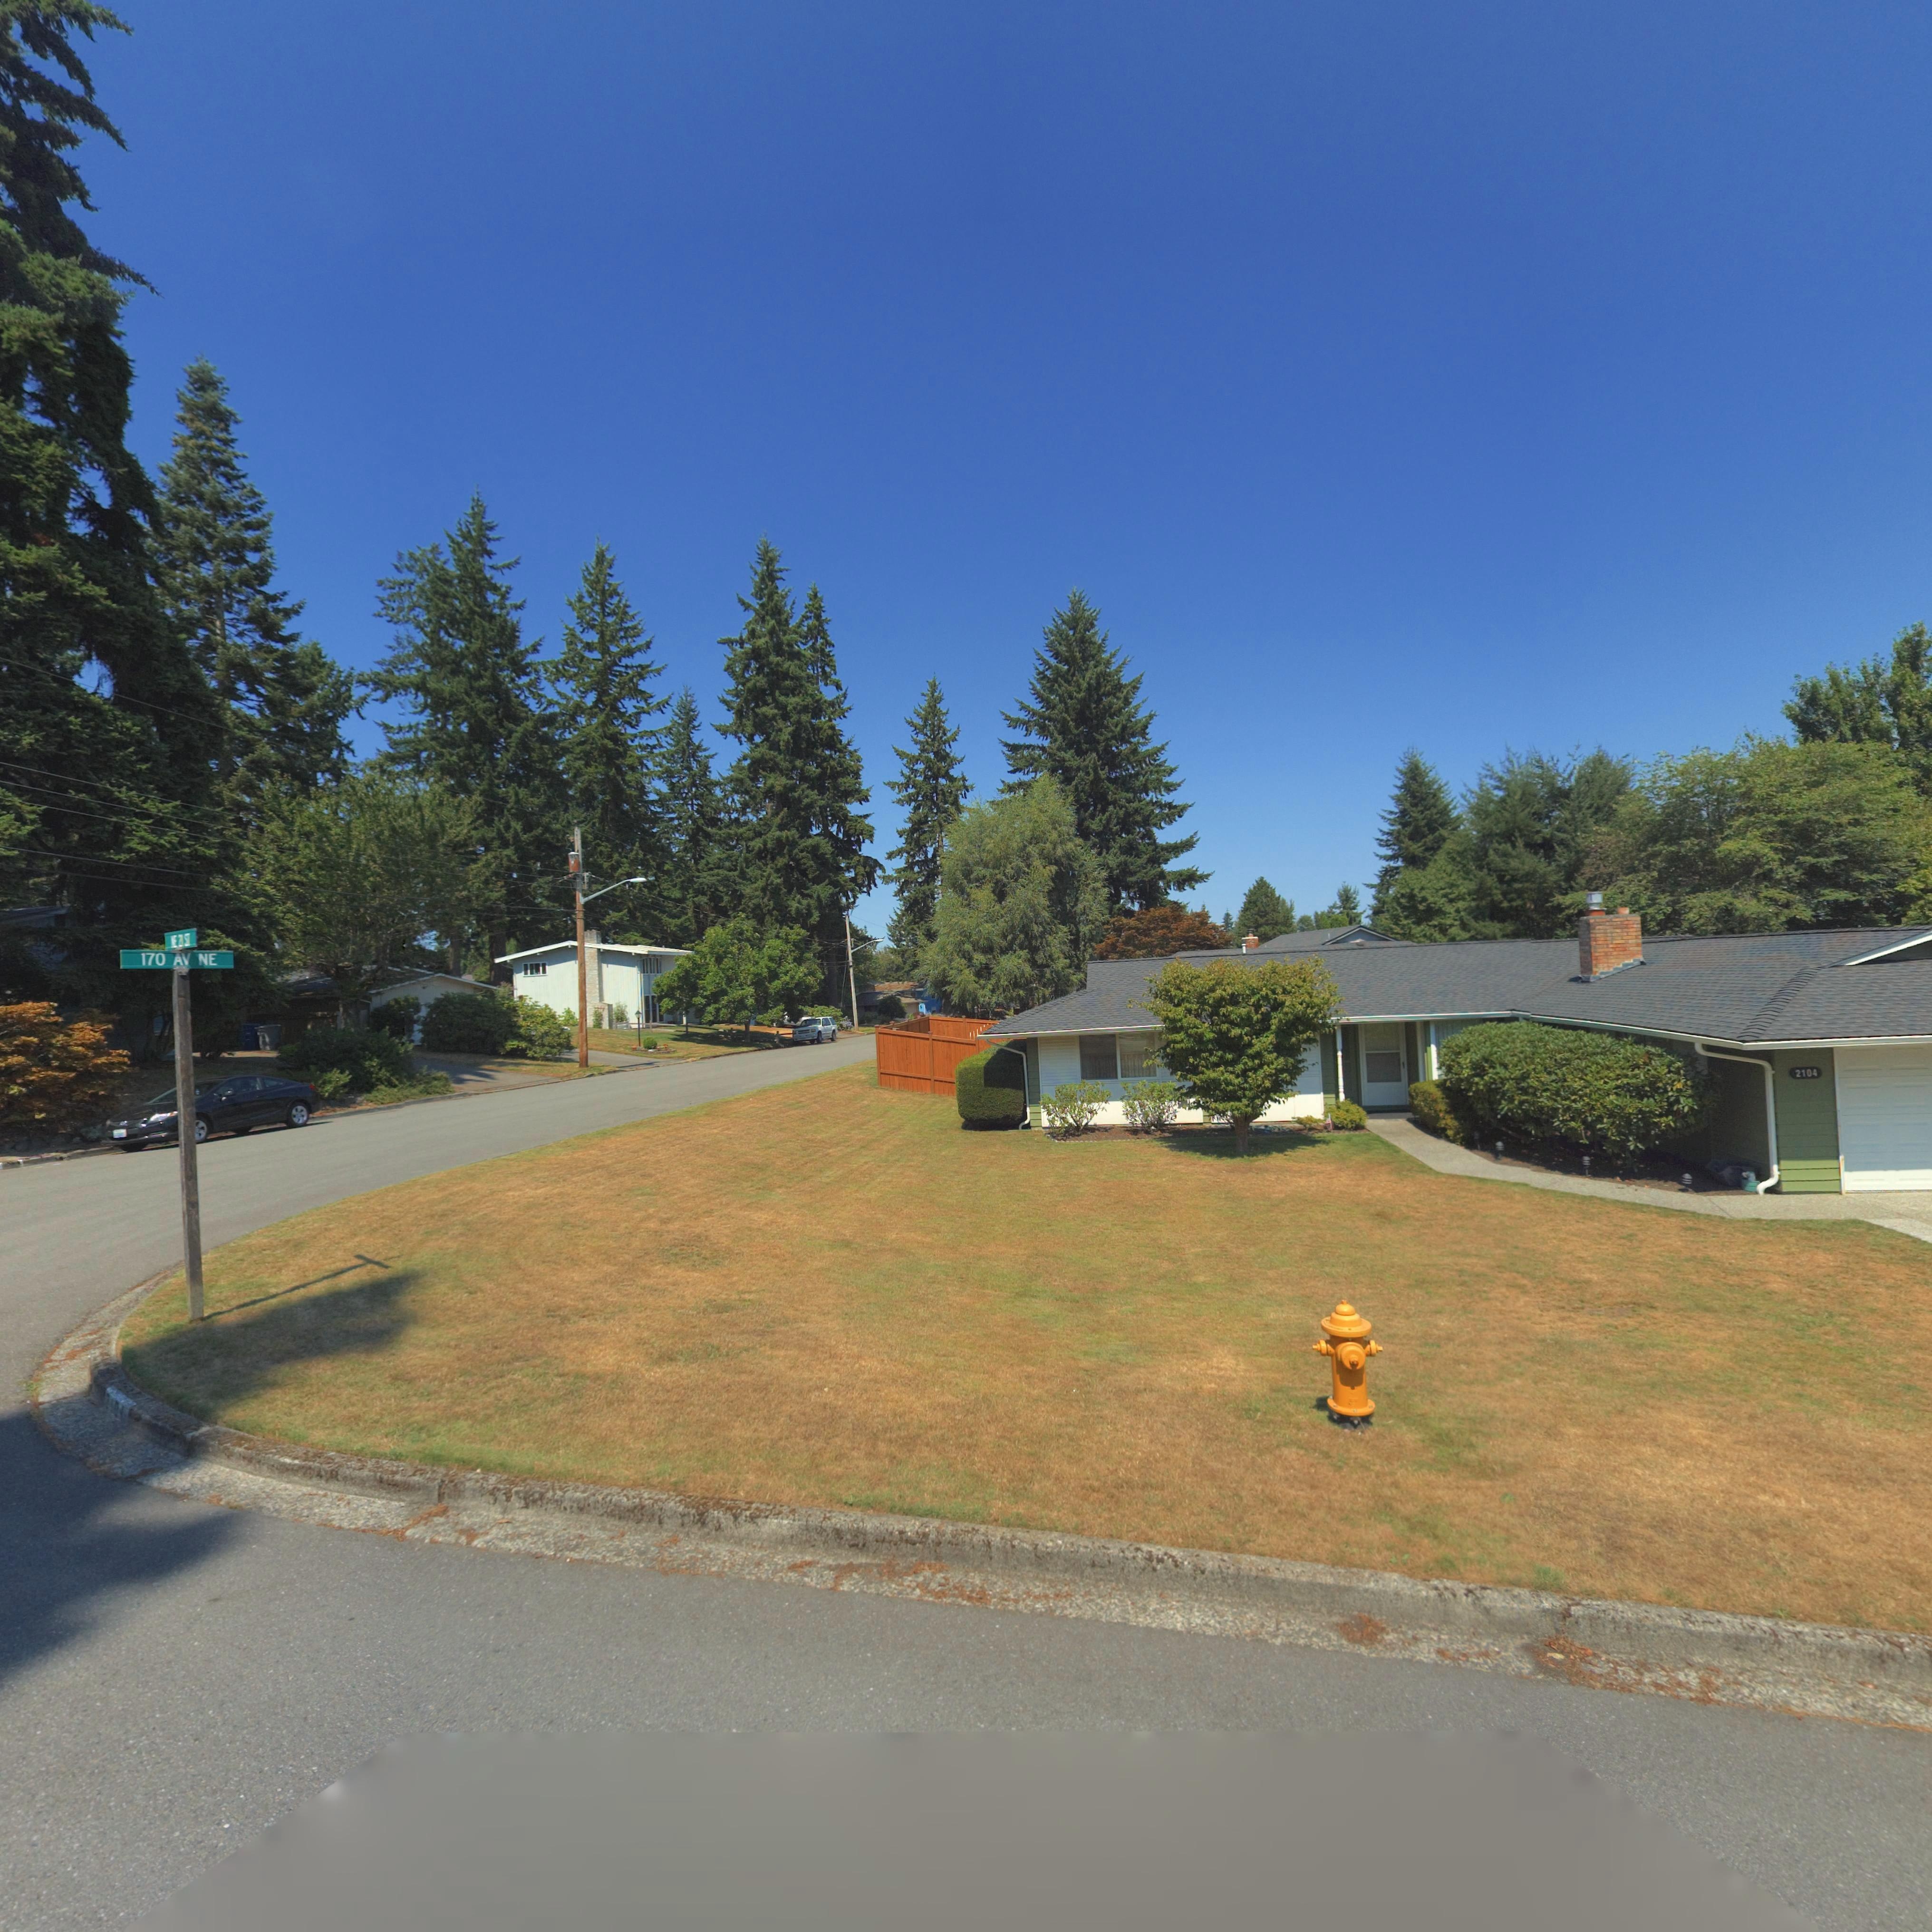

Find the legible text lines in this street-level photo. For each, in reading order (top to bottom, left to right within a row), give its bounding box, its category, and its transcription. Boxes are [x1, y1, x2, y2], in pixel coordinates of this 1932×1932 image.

[141, 952, 219, 966] StreetName: 170 AV NE
[1794, 1068, 1818, 1078] StreetNumber: 2104